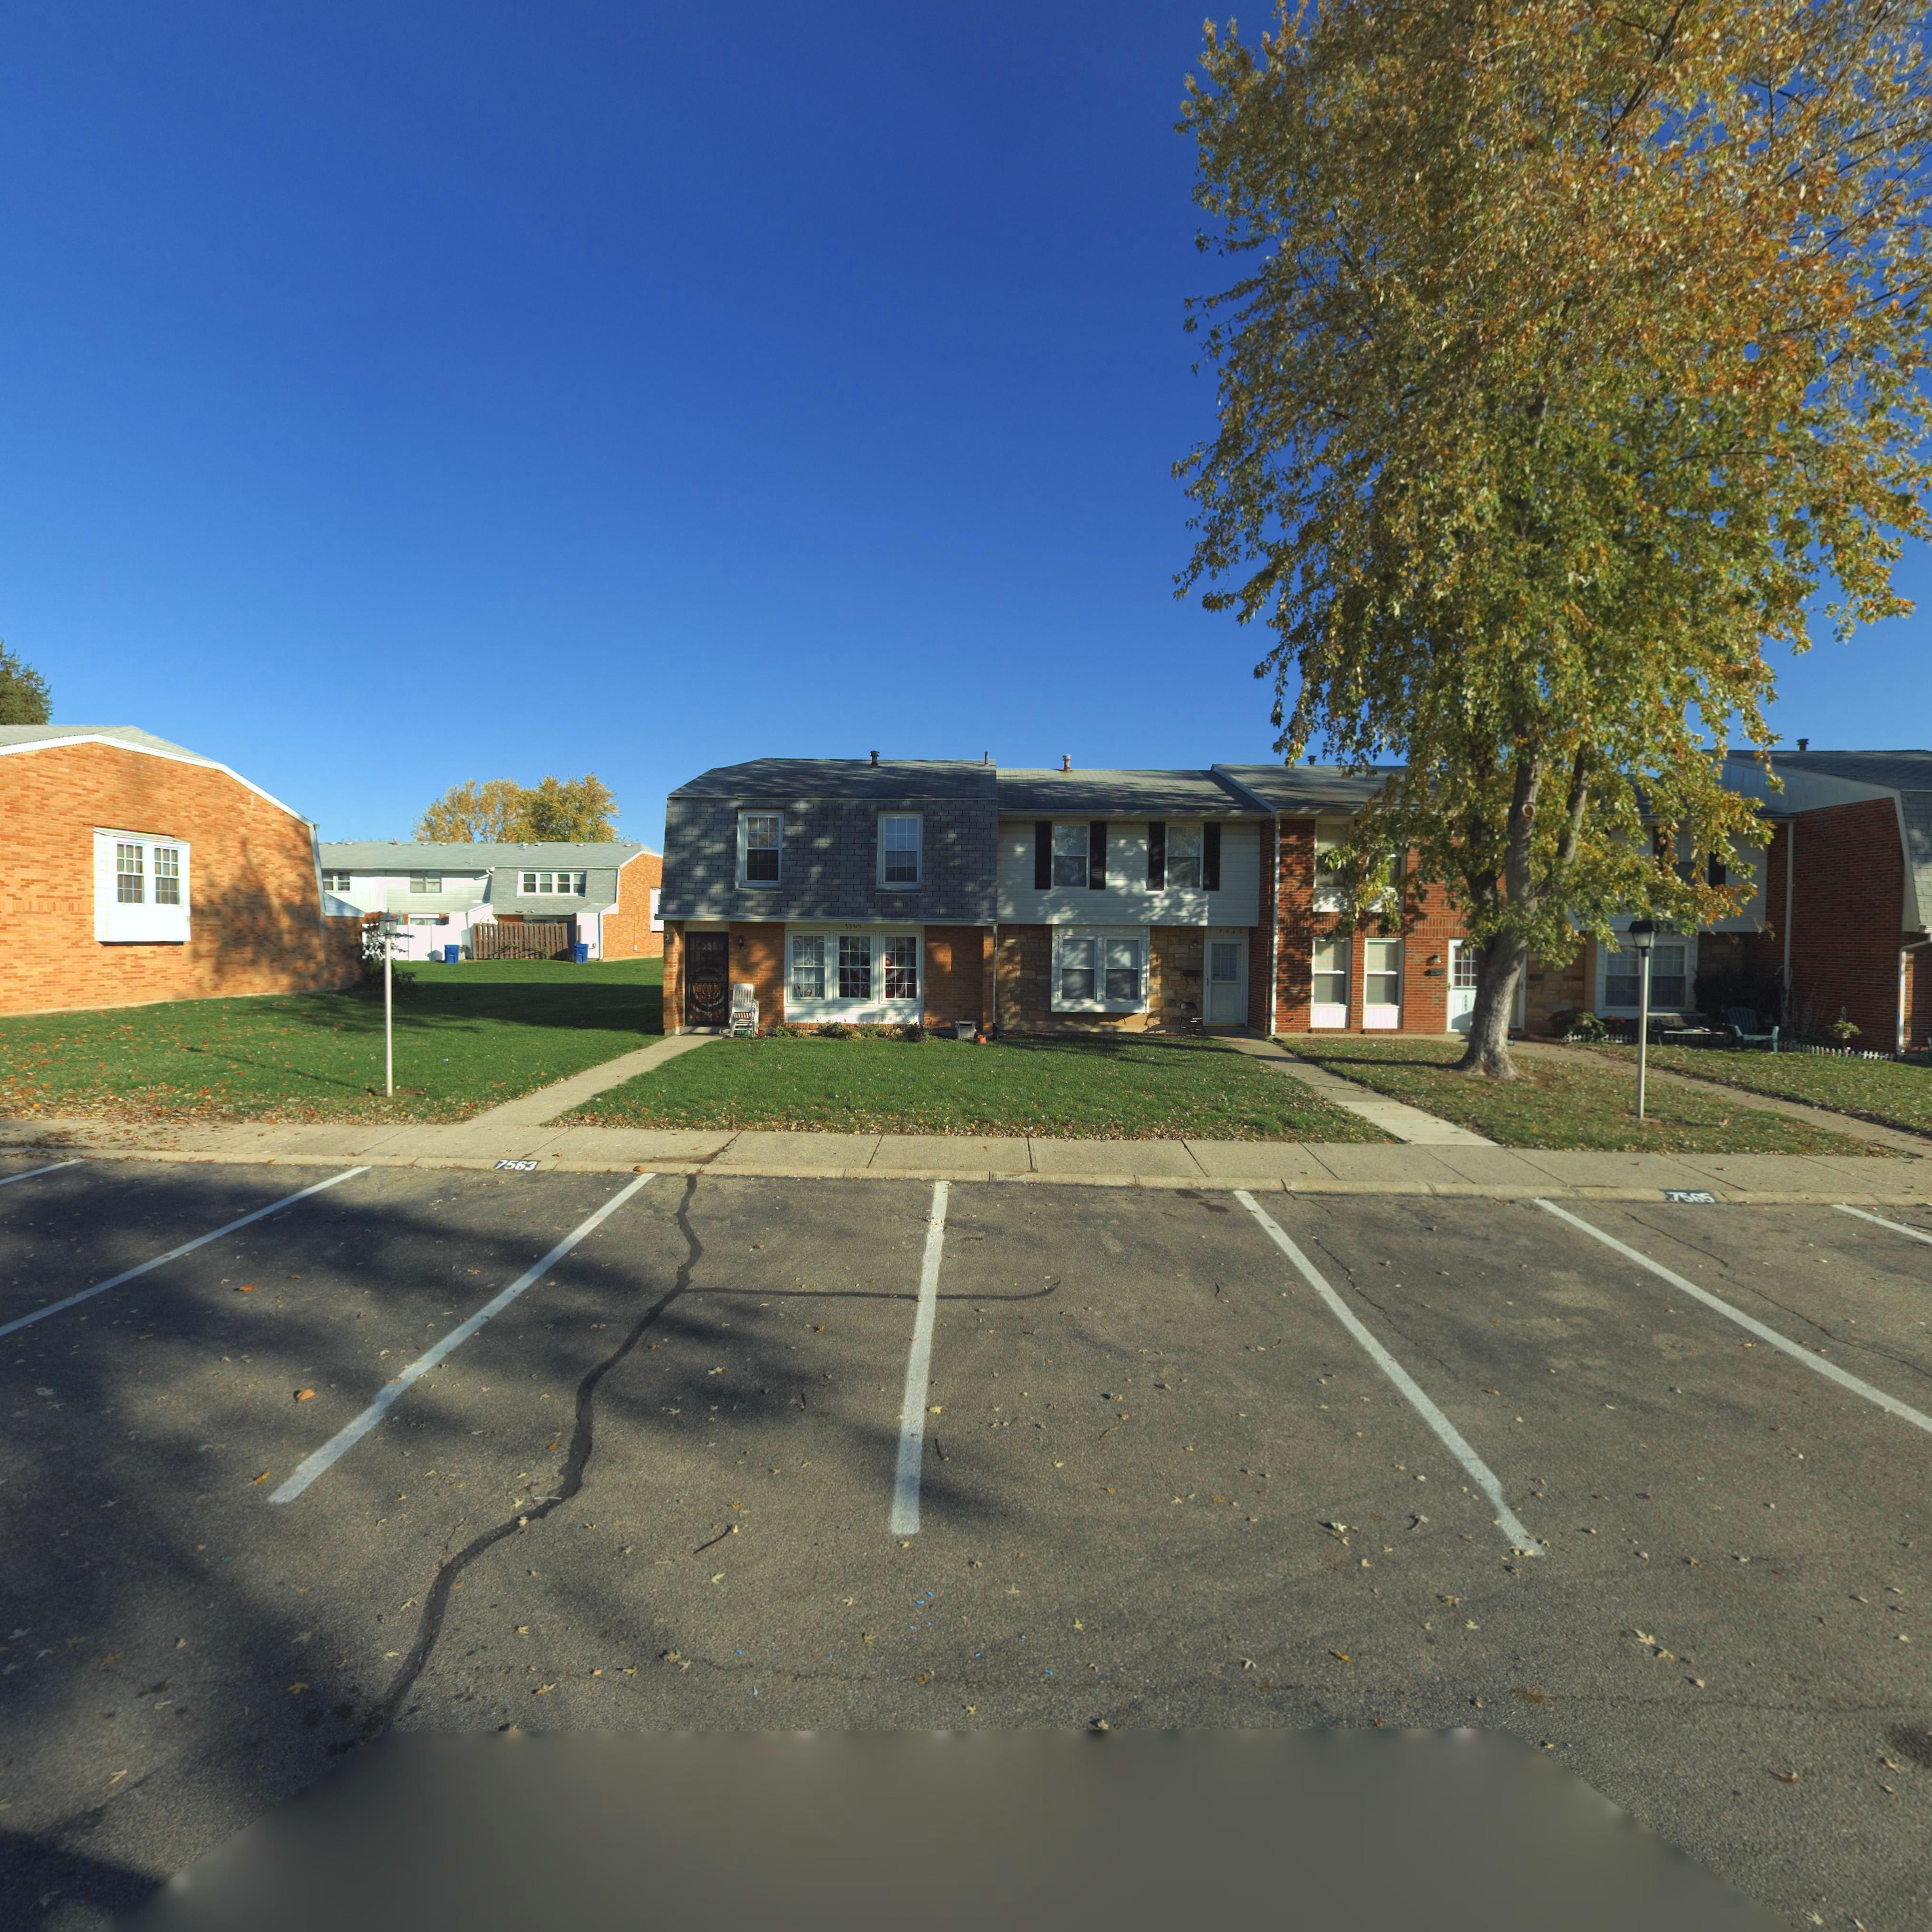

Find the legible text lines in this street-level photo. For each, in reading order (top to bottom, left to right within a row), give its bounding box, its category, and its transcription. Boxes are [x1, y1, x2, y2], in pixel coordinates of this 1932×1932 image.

[844, 923, 862, 929] StreetNumber: 7563
[1217, 928, 1243, 935] StreetNumber: 7565
[1464, 994, 1468, 1012] StreetNumber: 7567
[493, 1159, 538, 1171] StreetNumber: 7563
[1665, 1191, 1717, 1204] StreetNumber: 7565